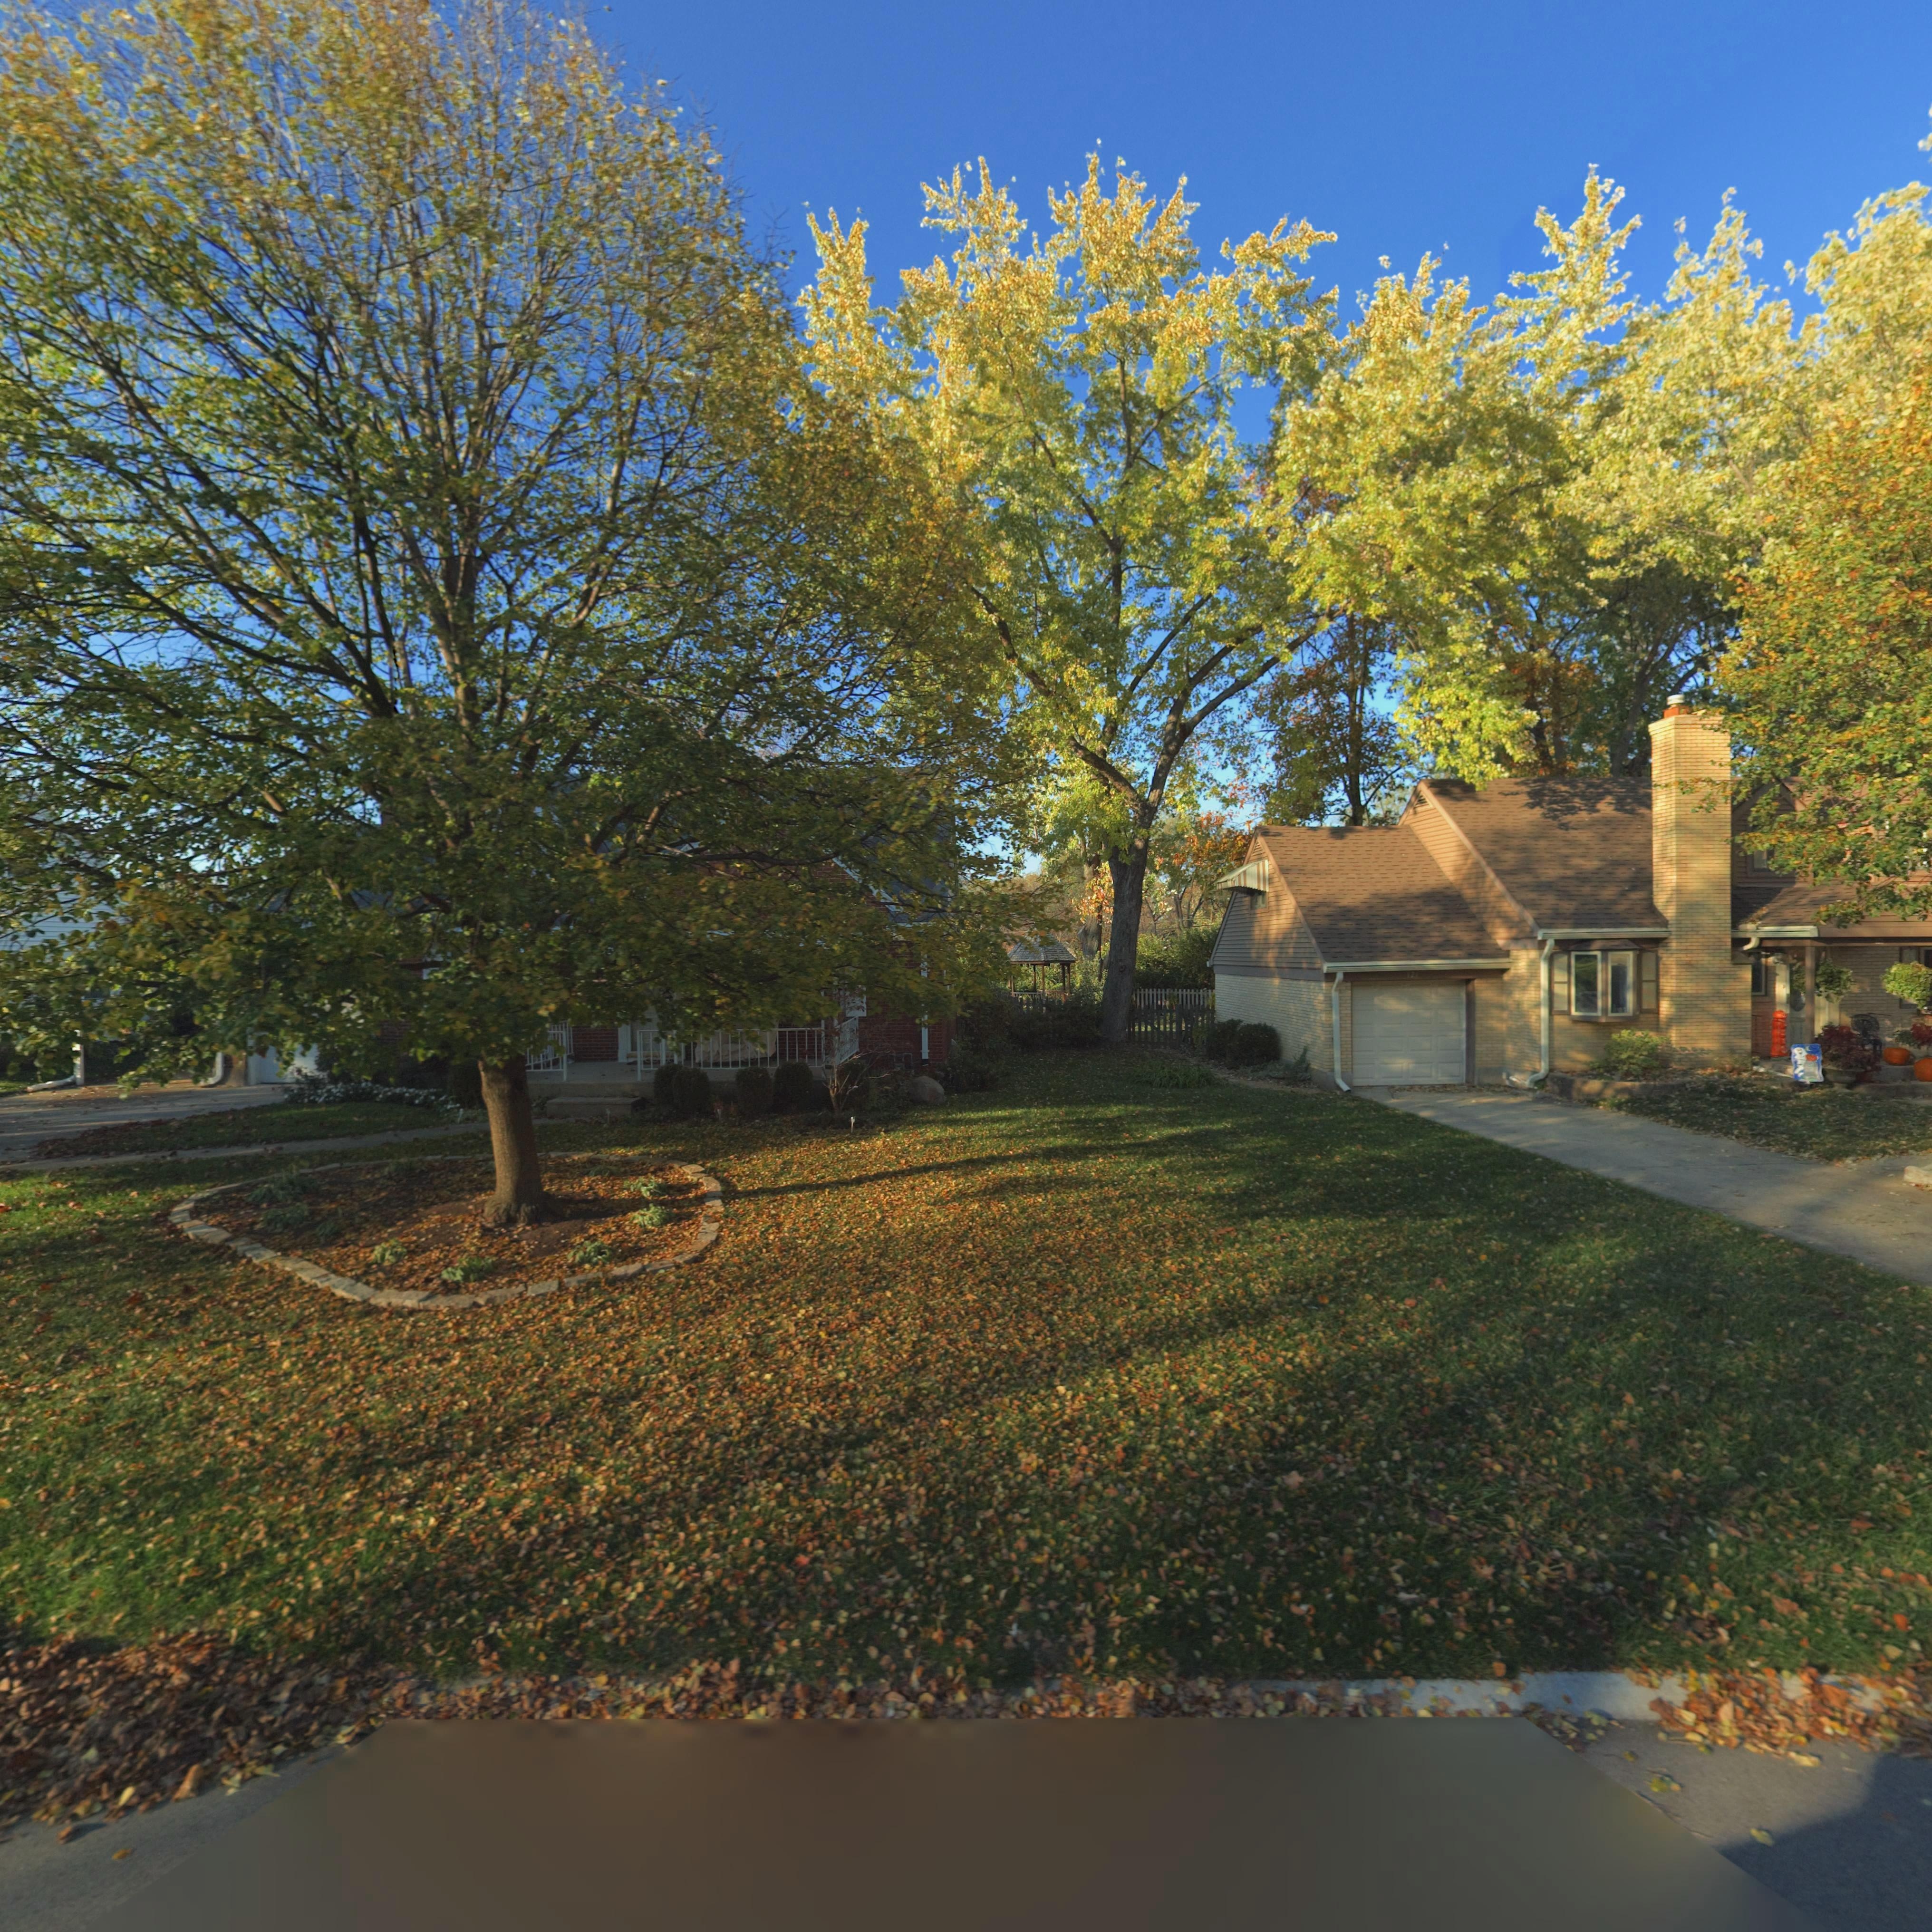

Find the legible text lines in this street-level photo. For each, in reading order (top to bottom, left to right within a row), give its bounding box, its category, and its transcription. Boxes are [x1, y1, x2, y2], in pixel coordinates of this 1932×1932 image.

[1406, 971, 1419, 980] StreetNumber: 121